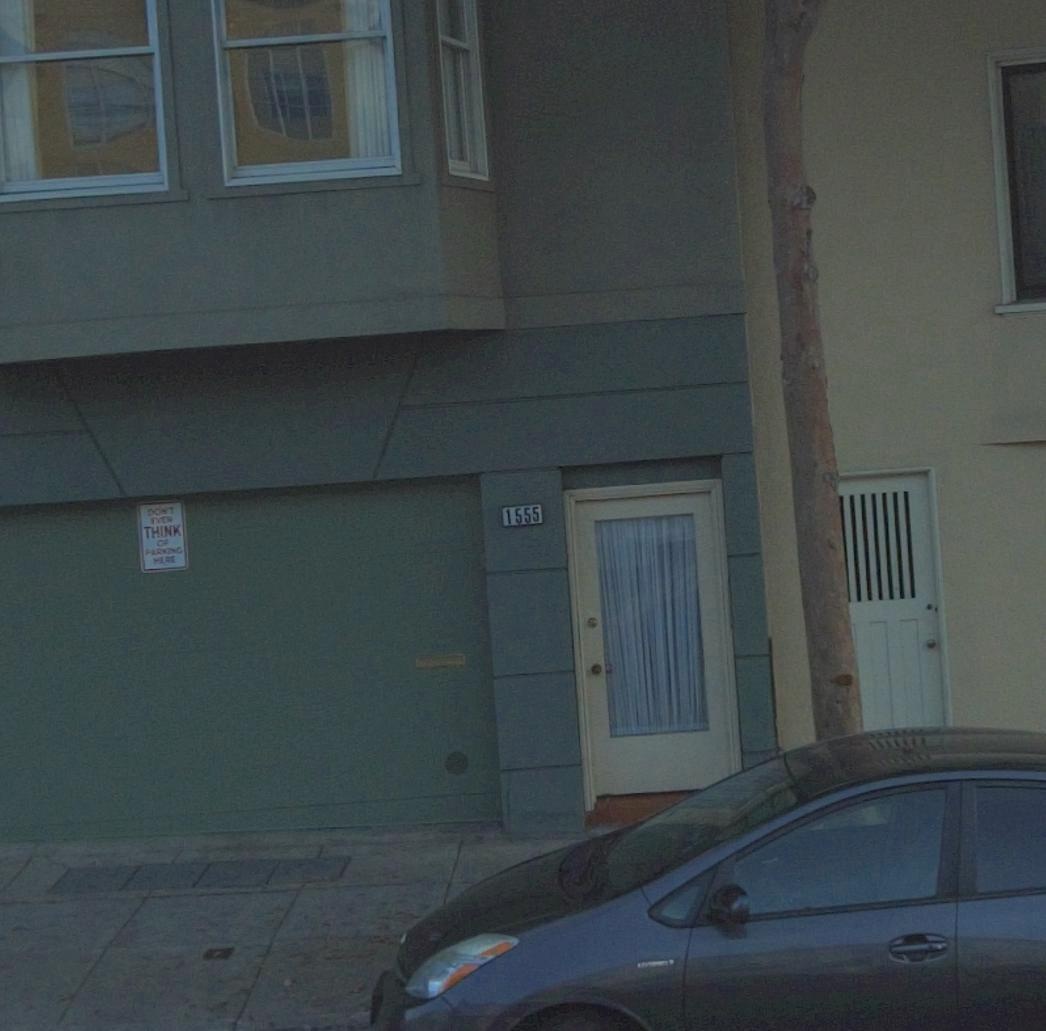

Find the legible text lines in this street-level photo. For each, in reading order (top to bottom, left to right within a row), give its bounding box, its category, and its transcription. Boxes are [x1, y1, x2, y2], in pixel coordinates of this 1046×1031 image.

[146, 504, 177, 519] None: DON'T
[148, 513, 176, 527] None: EVEN
[503, 504, 543, 528] StreetNumber: 1555
[142, 521, 184, 542] None: THINK
[154, 537, 170, 550] None: OF